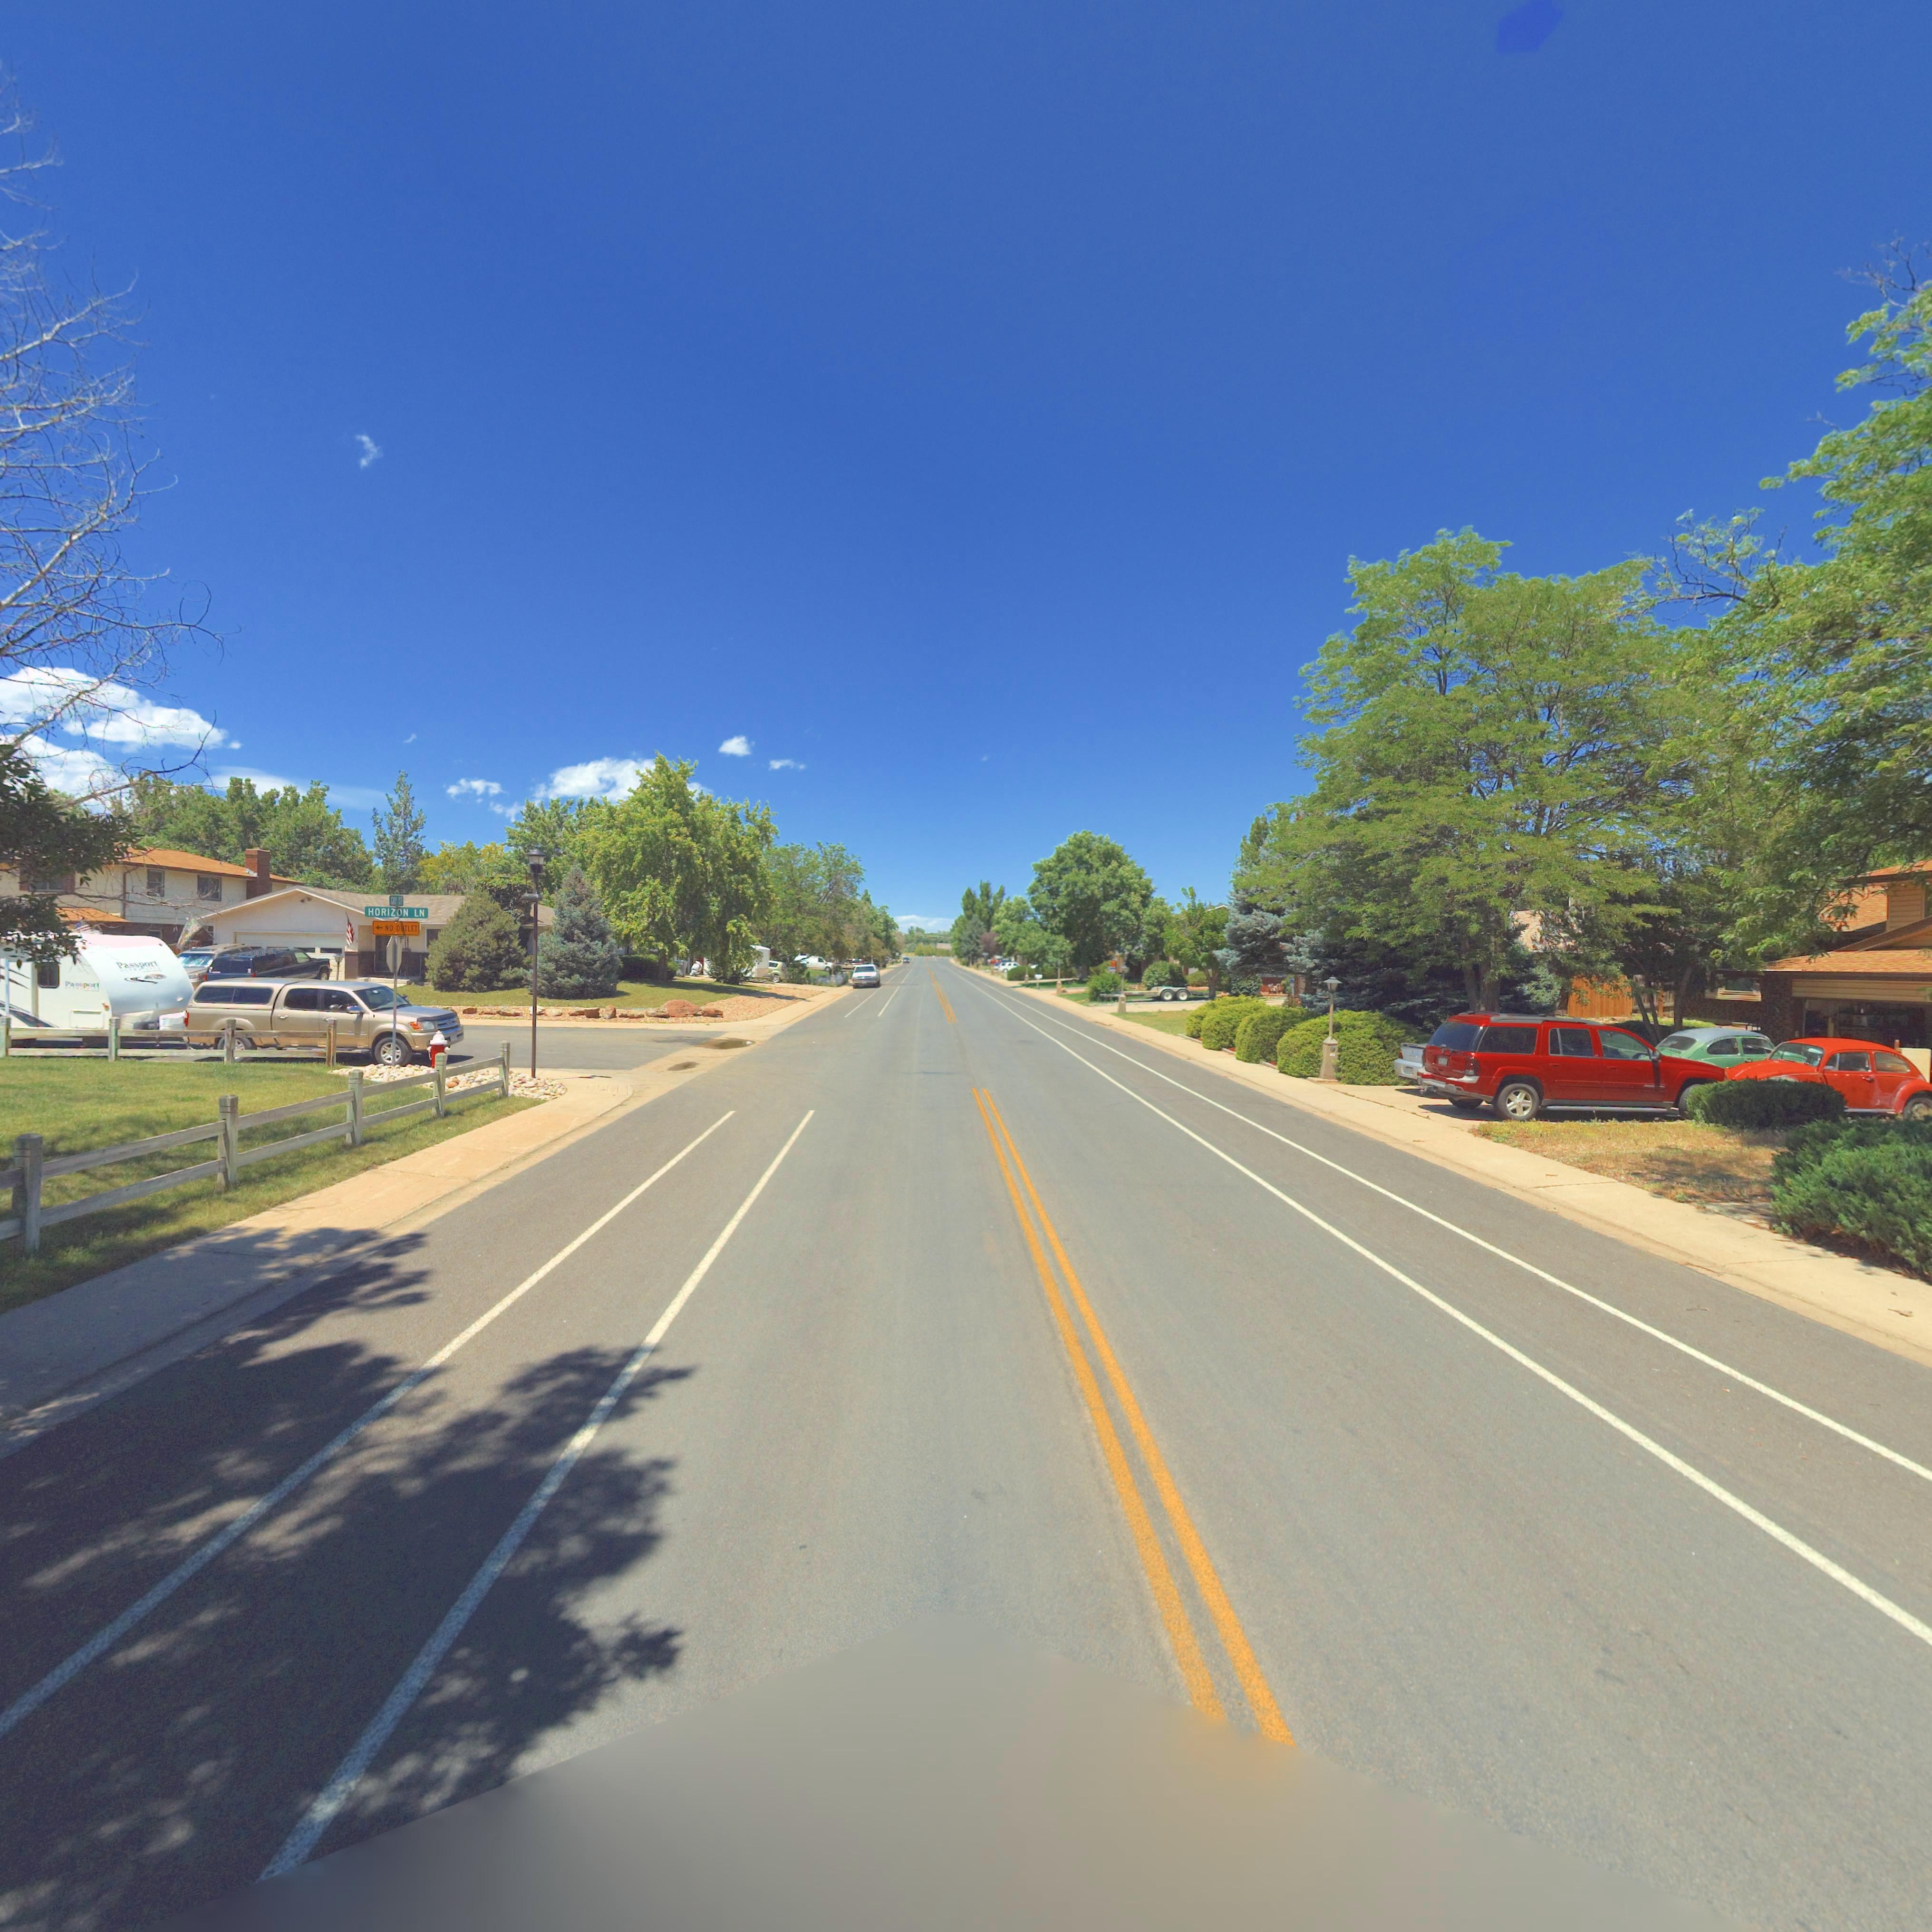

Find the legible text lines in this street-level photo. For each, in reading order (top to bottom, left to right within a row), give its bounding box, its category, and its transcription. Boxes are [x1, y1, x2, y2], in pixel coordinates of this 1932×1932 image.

[390, 896, 402, 905] StreetName: G** S*
[368, 908, 425, 917] StreetName: HORIZON LN